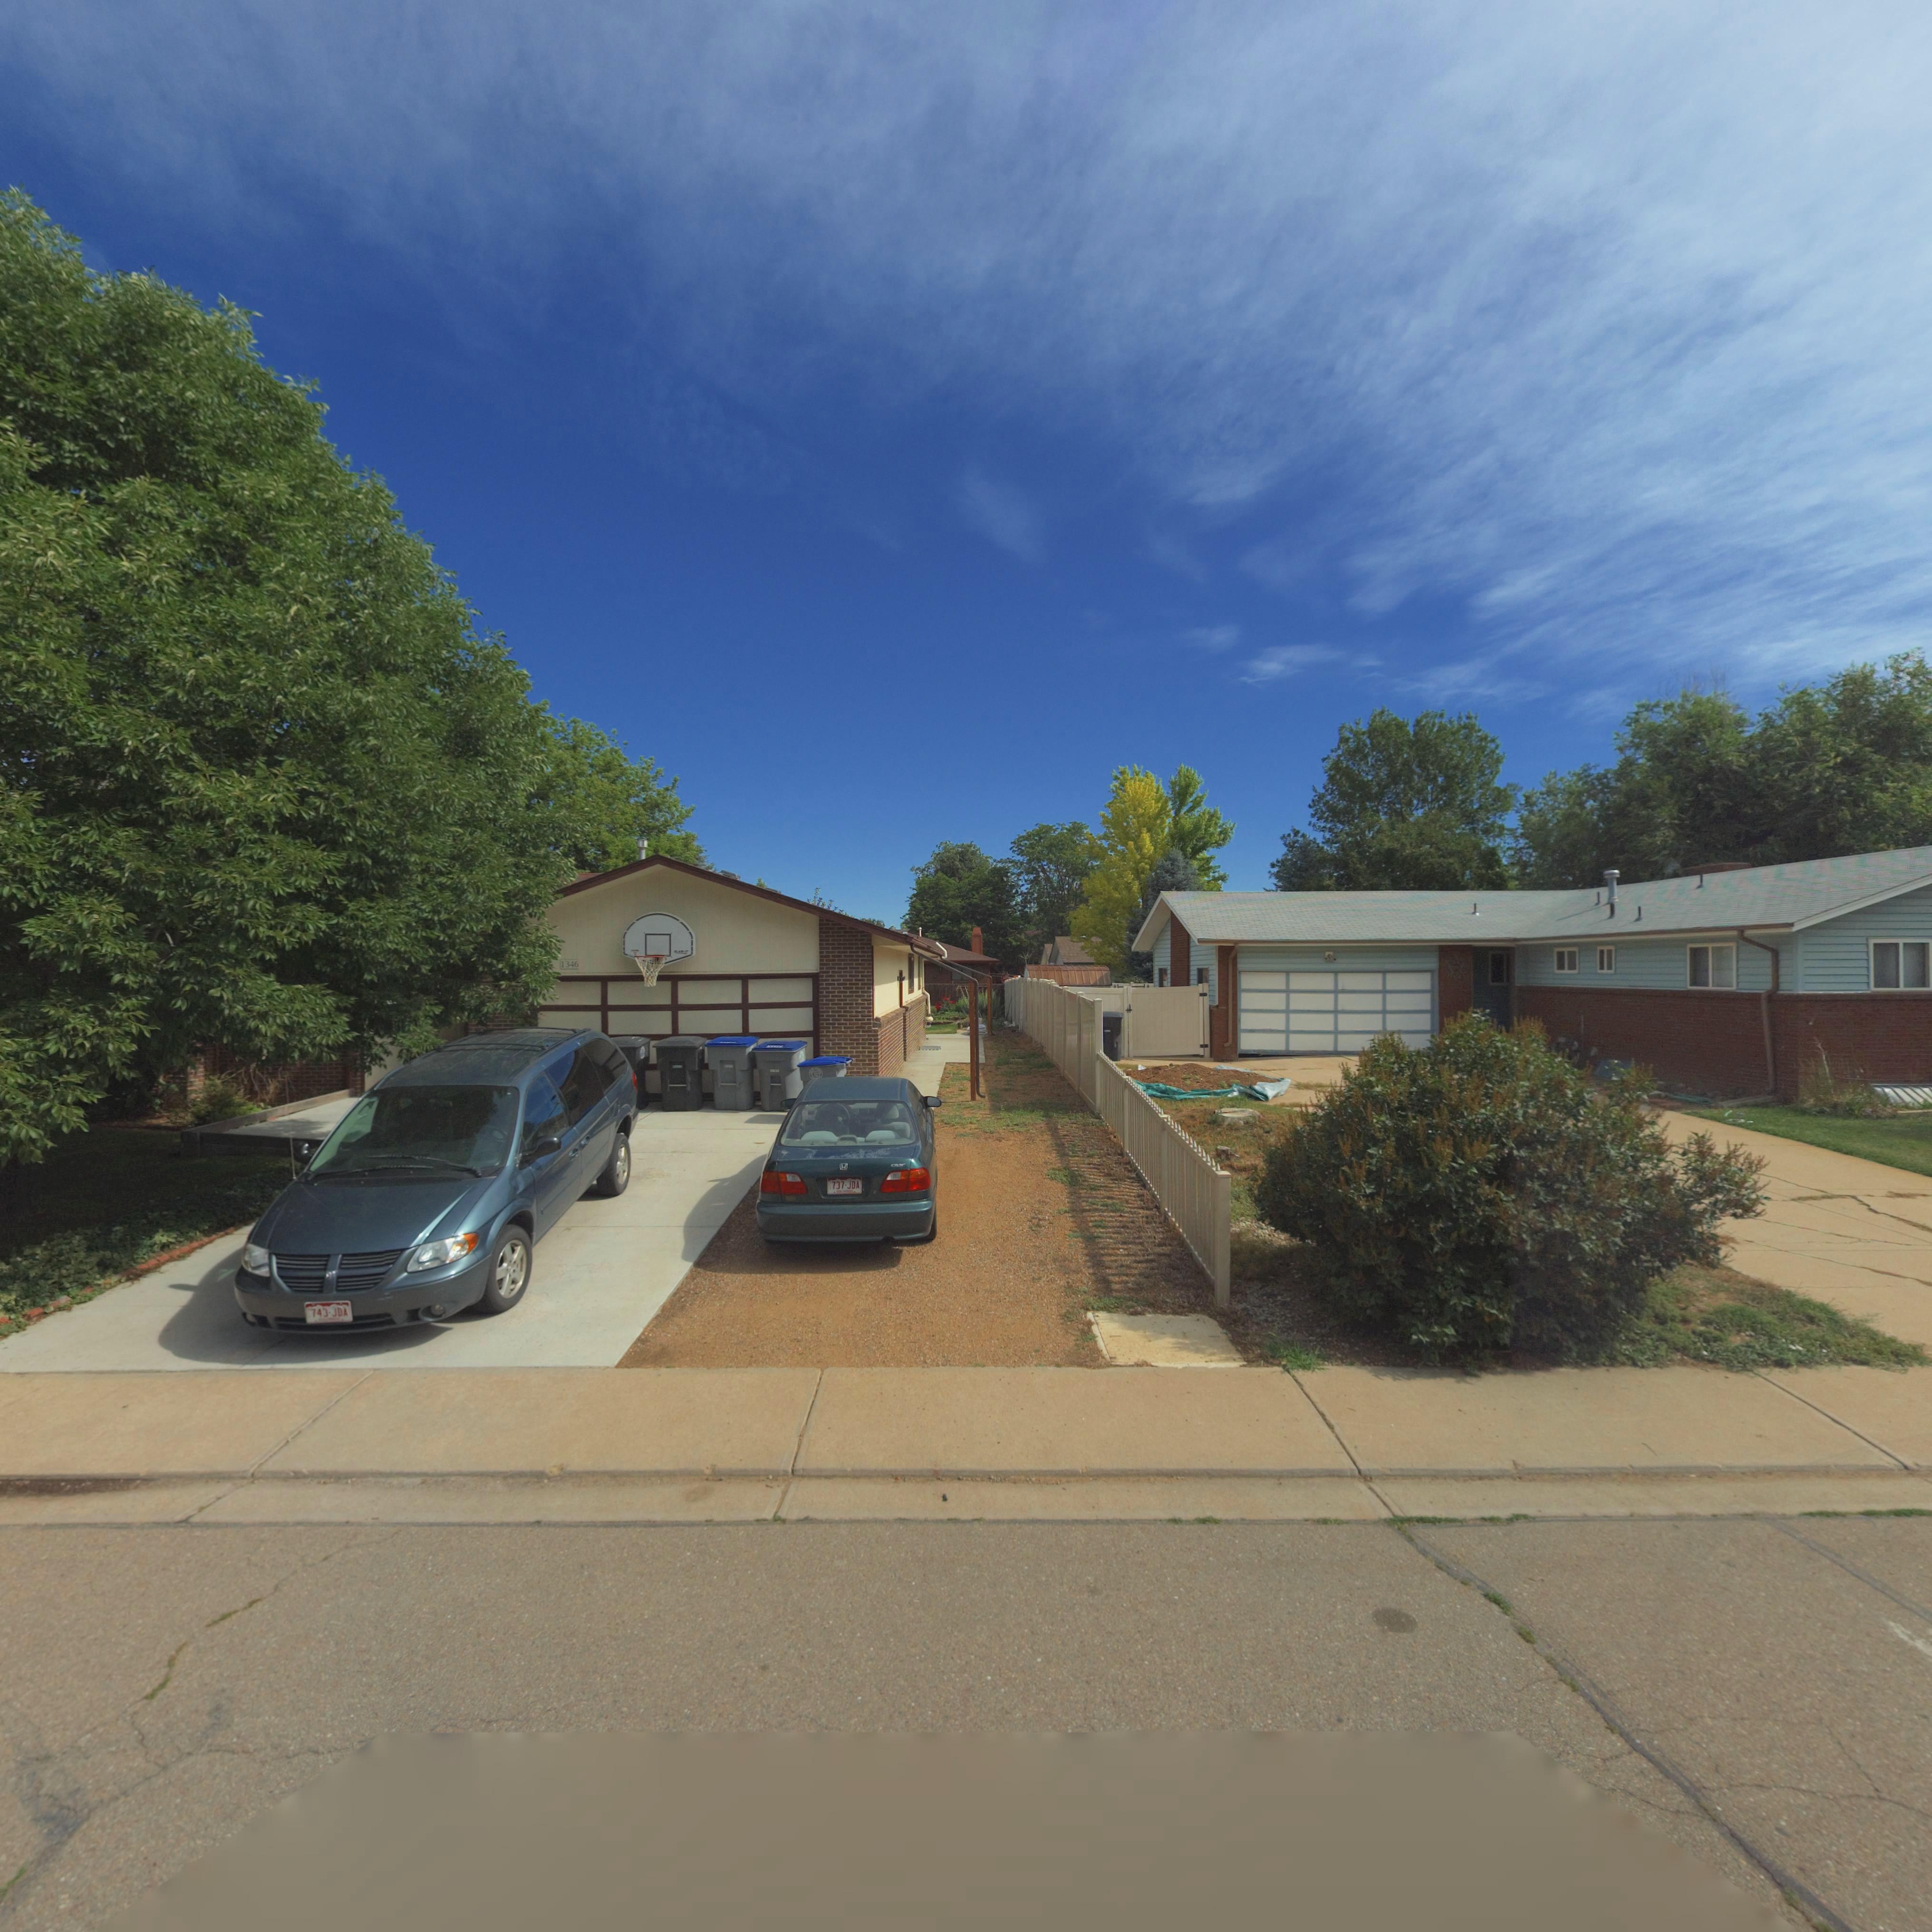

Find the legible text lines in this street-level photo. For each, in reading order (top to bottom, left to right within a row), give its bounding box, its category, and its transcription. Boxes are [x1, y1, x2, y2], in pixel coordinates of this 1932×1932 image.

[561, 960, 579, 968] StreetNumber: 1346